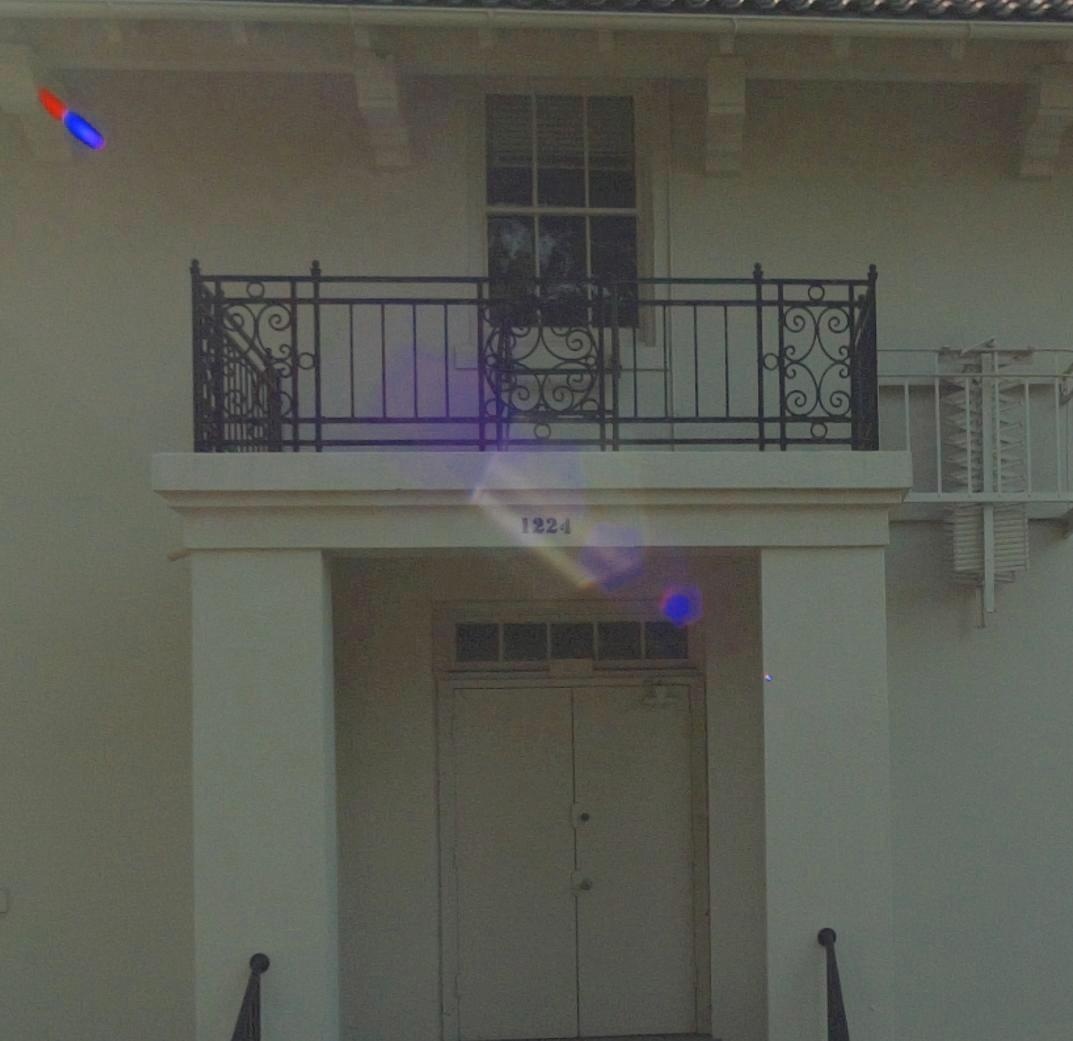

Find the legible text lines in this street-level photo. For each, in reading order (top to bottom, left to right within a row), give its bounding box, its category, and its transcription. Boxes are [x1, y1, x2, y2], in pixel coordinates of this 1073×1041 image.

[519, 515, 574, 537] StreetNumber: 1224